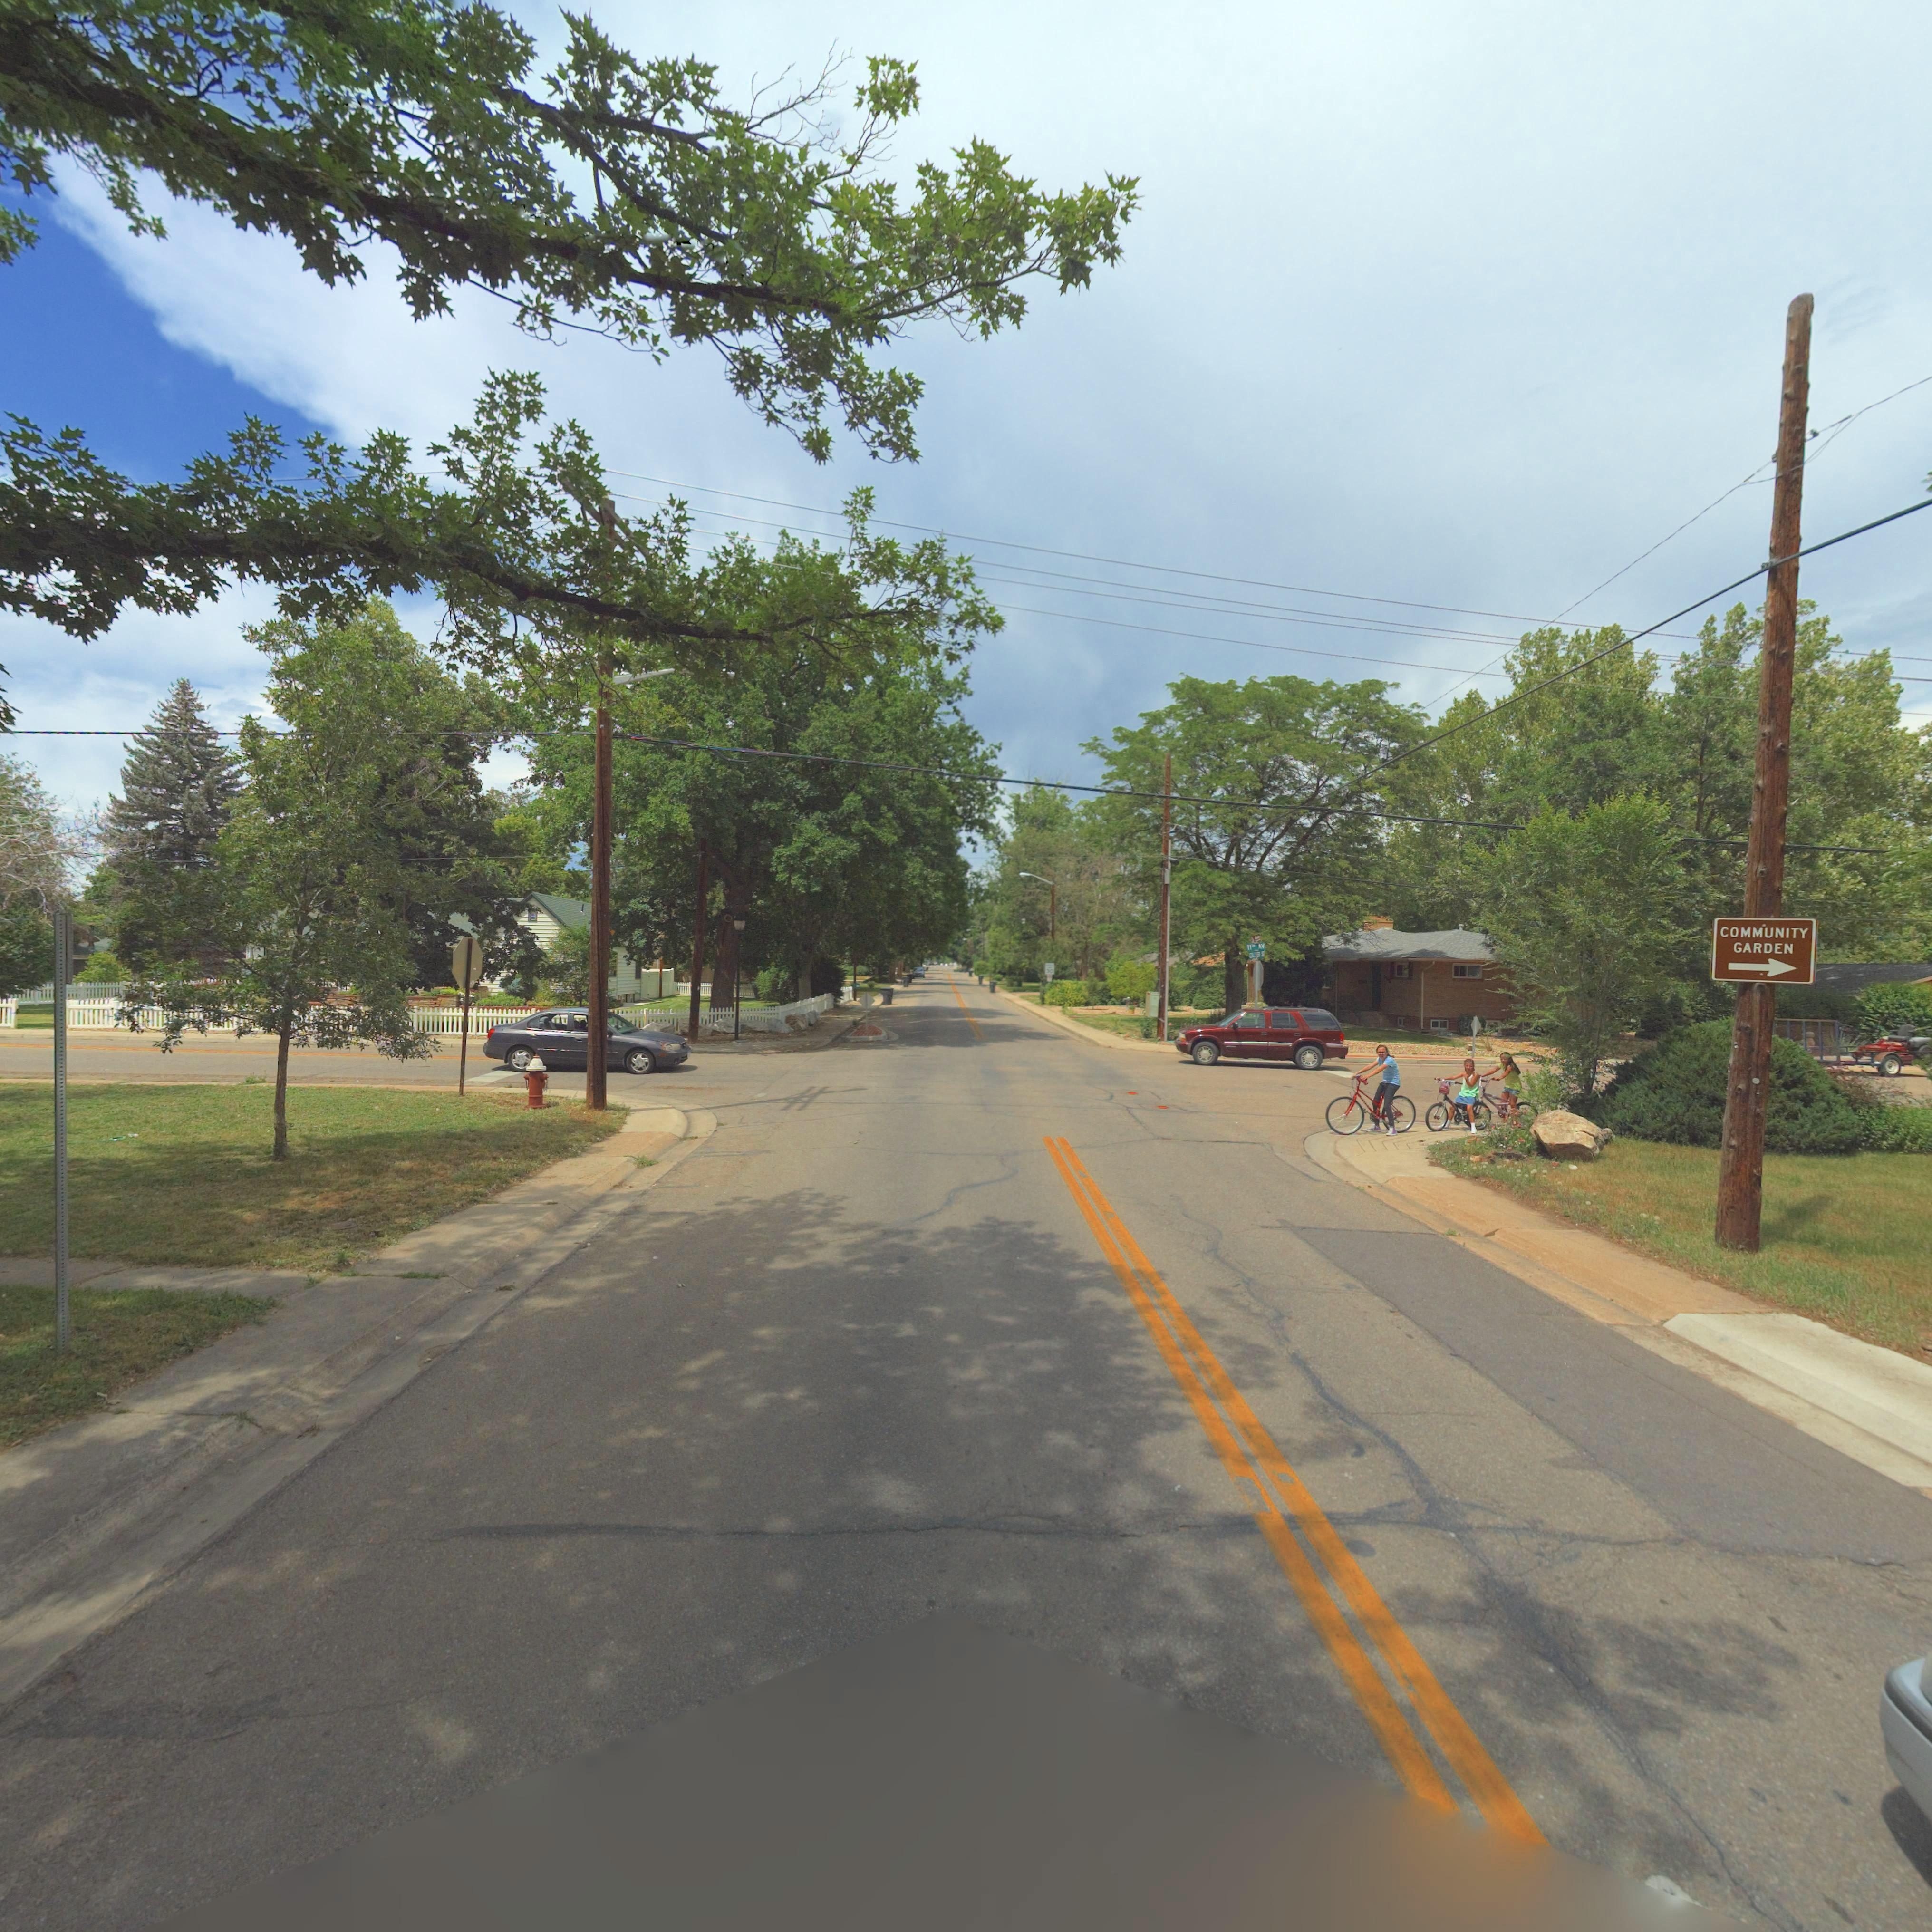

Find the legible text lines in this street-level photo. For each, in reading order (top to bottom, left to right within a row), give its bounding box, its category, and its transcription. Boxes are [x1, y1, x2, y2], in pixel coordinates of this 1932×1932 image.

[1246, 943, 1265, 950] StreetName: 11TH AV
[1249, 950, 1265, 958] StreetName: COLLYER S*